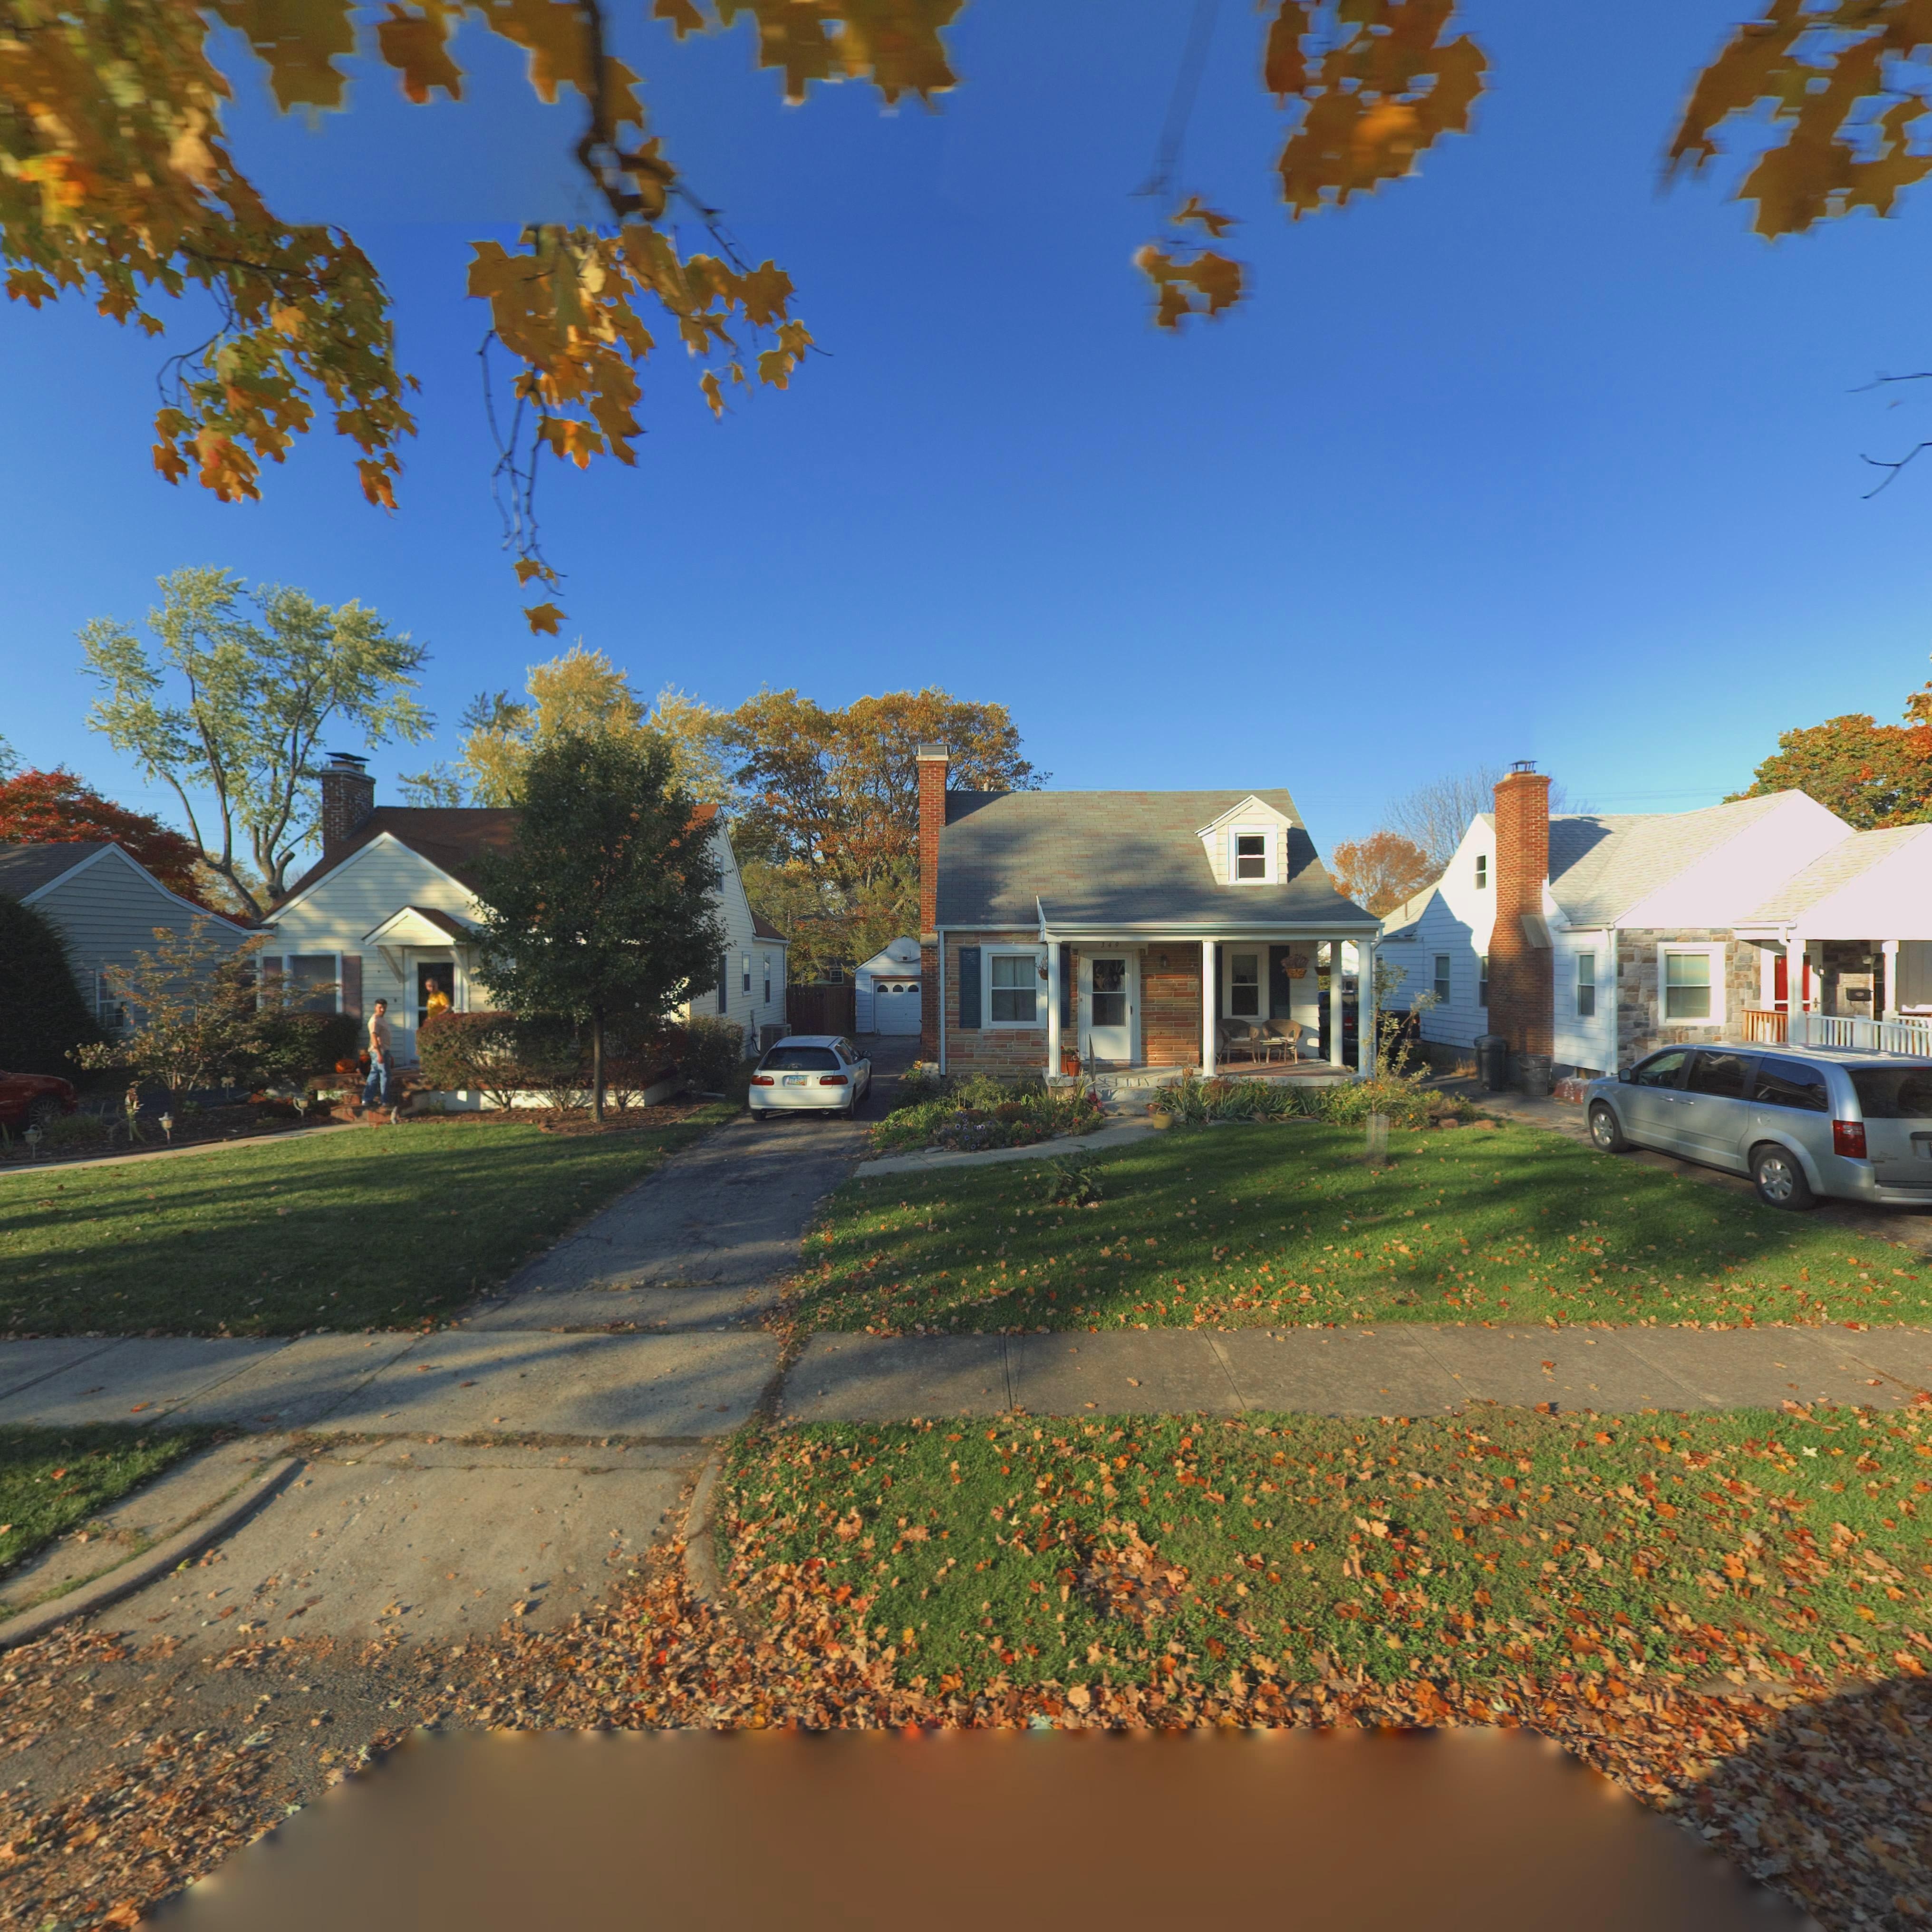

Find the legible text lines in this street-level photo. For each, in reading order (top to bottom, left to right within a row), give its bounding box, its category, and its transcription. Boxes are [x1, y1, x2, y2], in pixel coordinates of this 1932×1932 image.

[1100, 940, 1120, 949] StreetNumber: 349